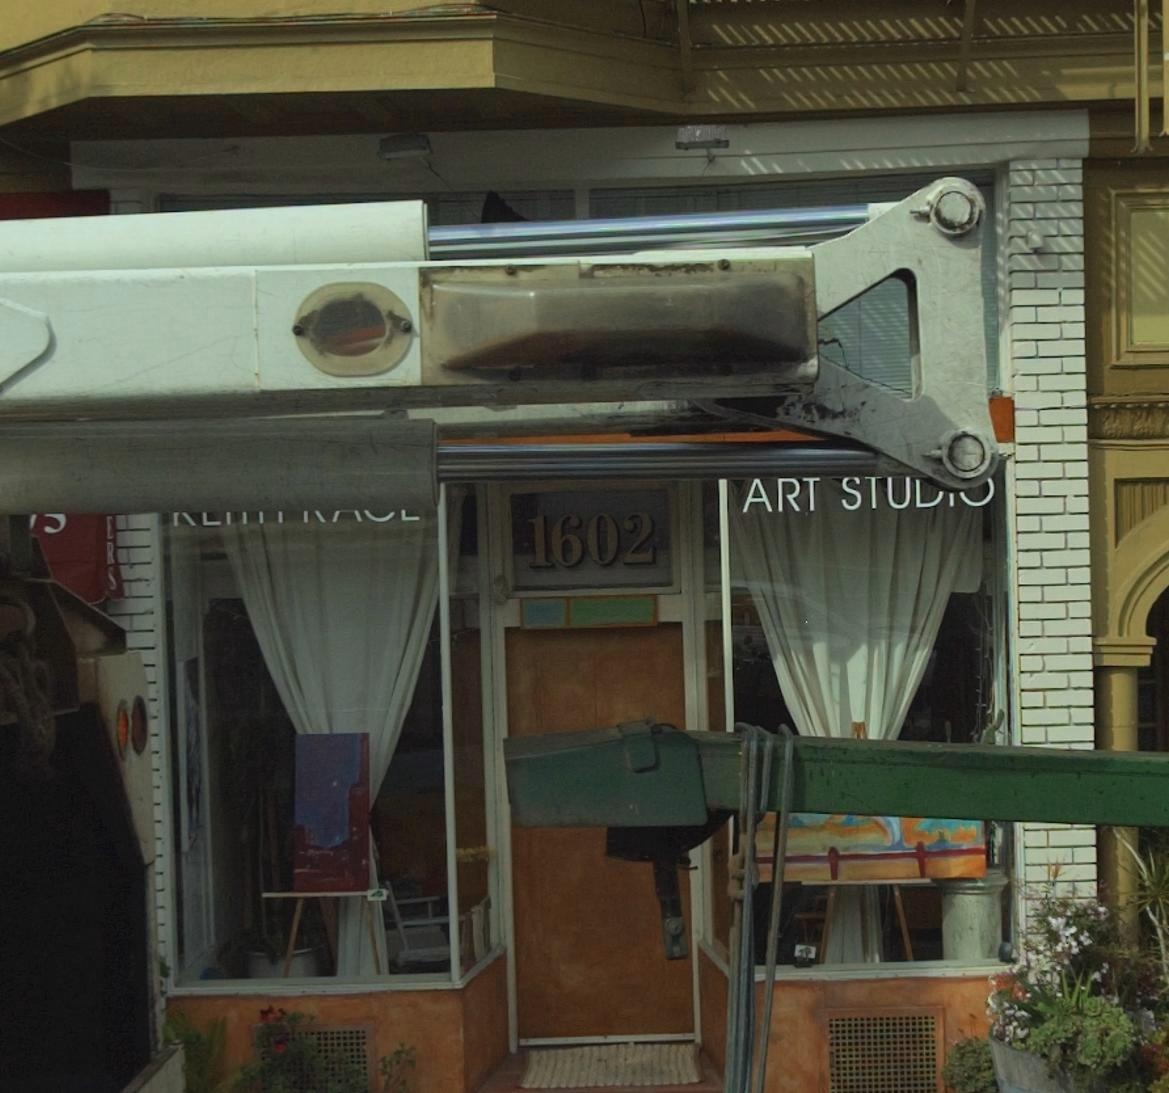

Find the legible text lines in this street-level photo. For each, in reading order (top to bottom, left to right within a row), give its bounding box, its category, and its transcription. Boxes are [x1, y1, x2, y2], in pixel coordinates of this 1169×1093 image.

[738, 470, 1001, 518] BusinessName: ART S*U***
[525, 509, 659, 570] StreetNumber: 1602